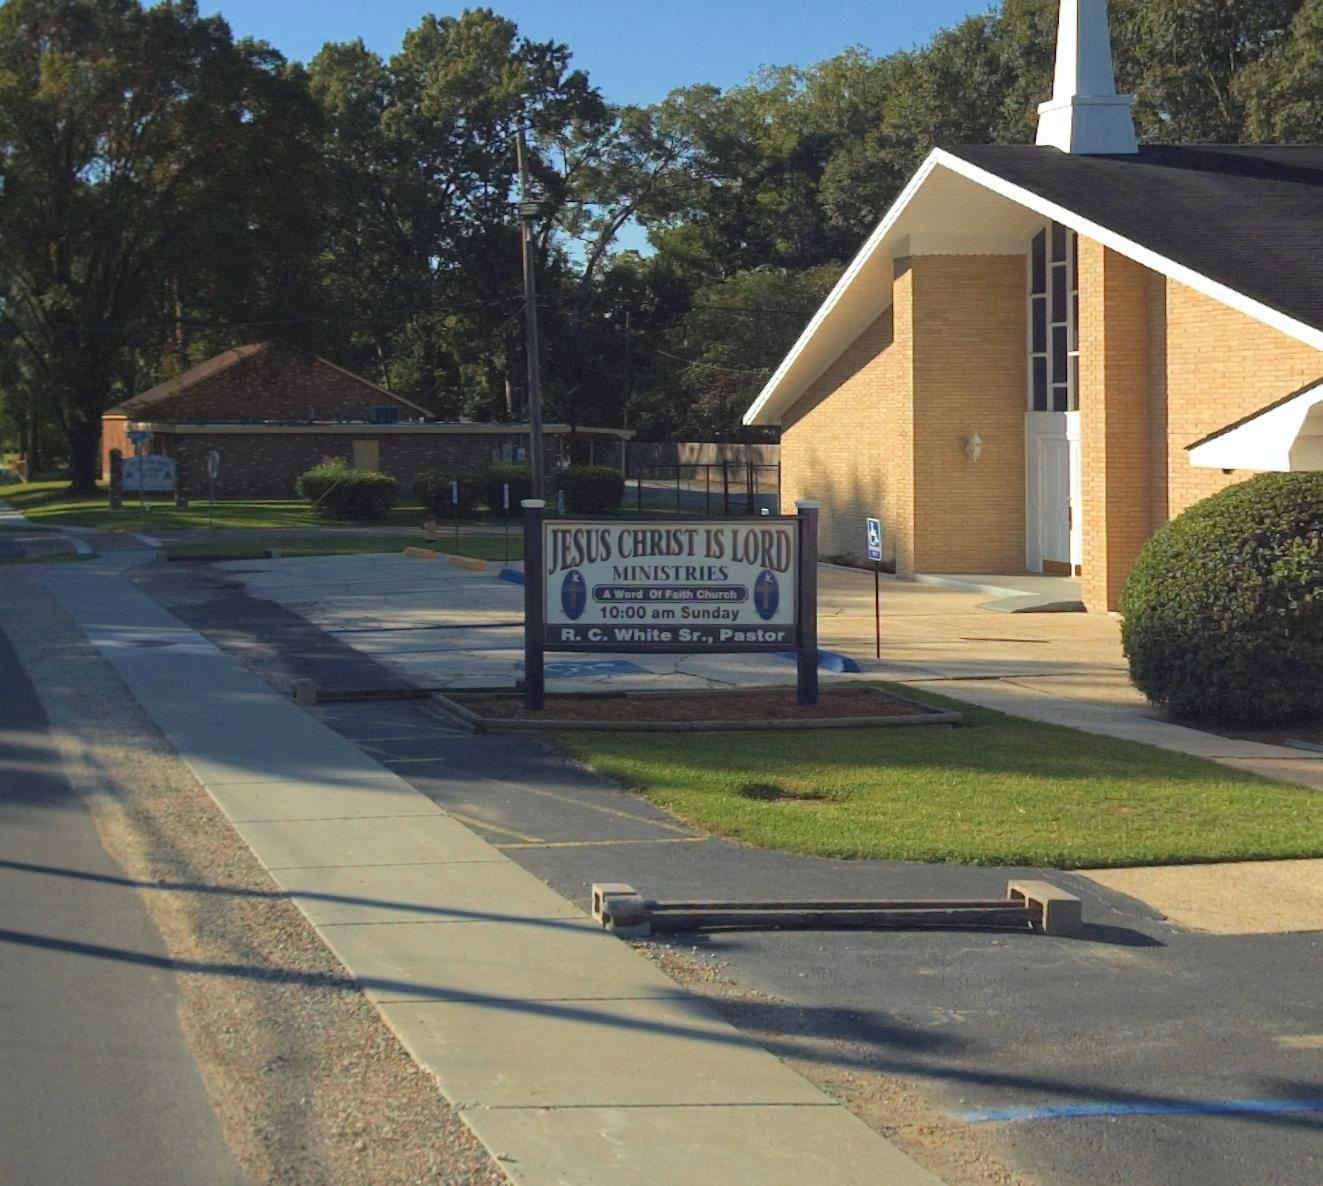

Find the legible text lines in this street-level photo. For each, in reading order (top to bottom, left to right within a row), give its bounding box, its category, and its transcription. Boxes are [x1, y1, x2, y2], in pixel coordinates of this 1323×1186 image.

[545, 525, 794, 577] BusinessName: JESUS CHRIST IS LORD
[608, 563, 732, 583] BusinessName: MINISTRIES
[598, 587, 740, 601] None: A Word Of Faith Church
[597, 604, 744, 623] None: 10:00 am Sunday
[559, 624, 788, 647] None: R.C. White Sr., Pastor